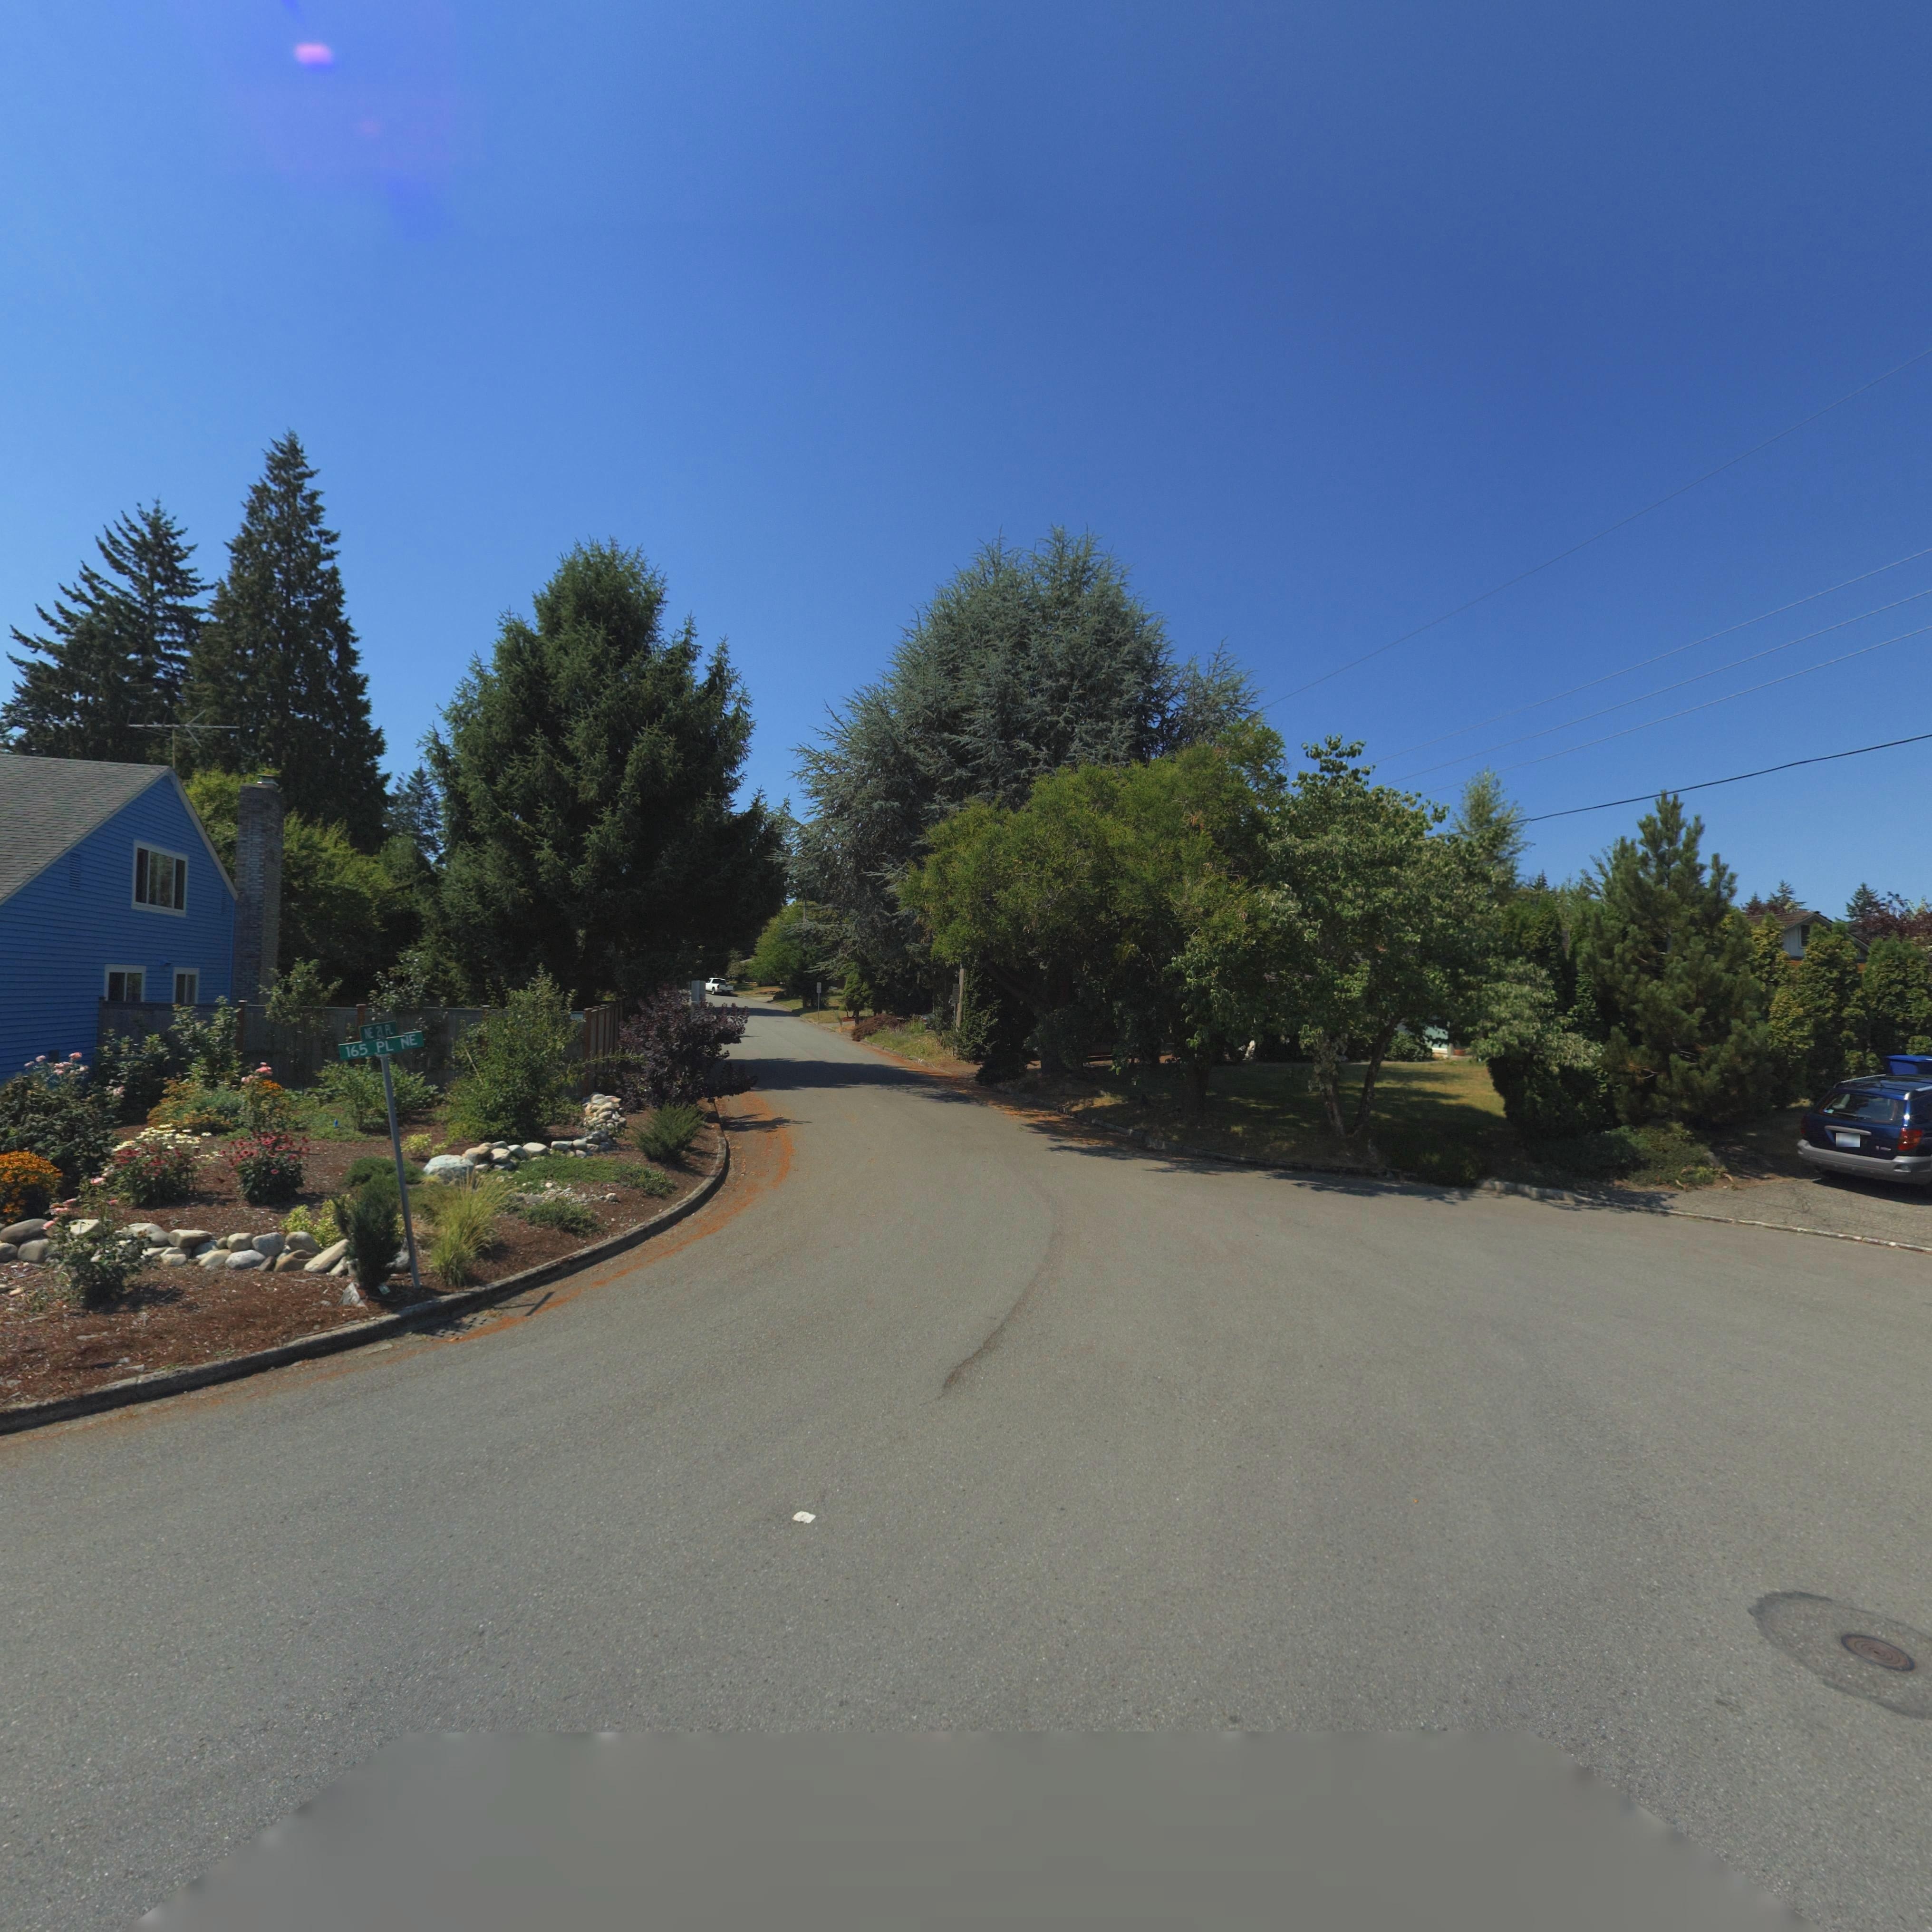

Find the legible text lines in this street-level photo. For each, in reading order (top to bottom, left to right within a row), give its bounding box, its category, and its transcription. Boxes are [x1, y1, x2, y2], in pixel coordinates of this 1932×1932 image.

[363, 1022, 394, 1040] StreetNumber: NE 21 PL
[349, 1034, 416, 1056] StreetName: 65 PL NE